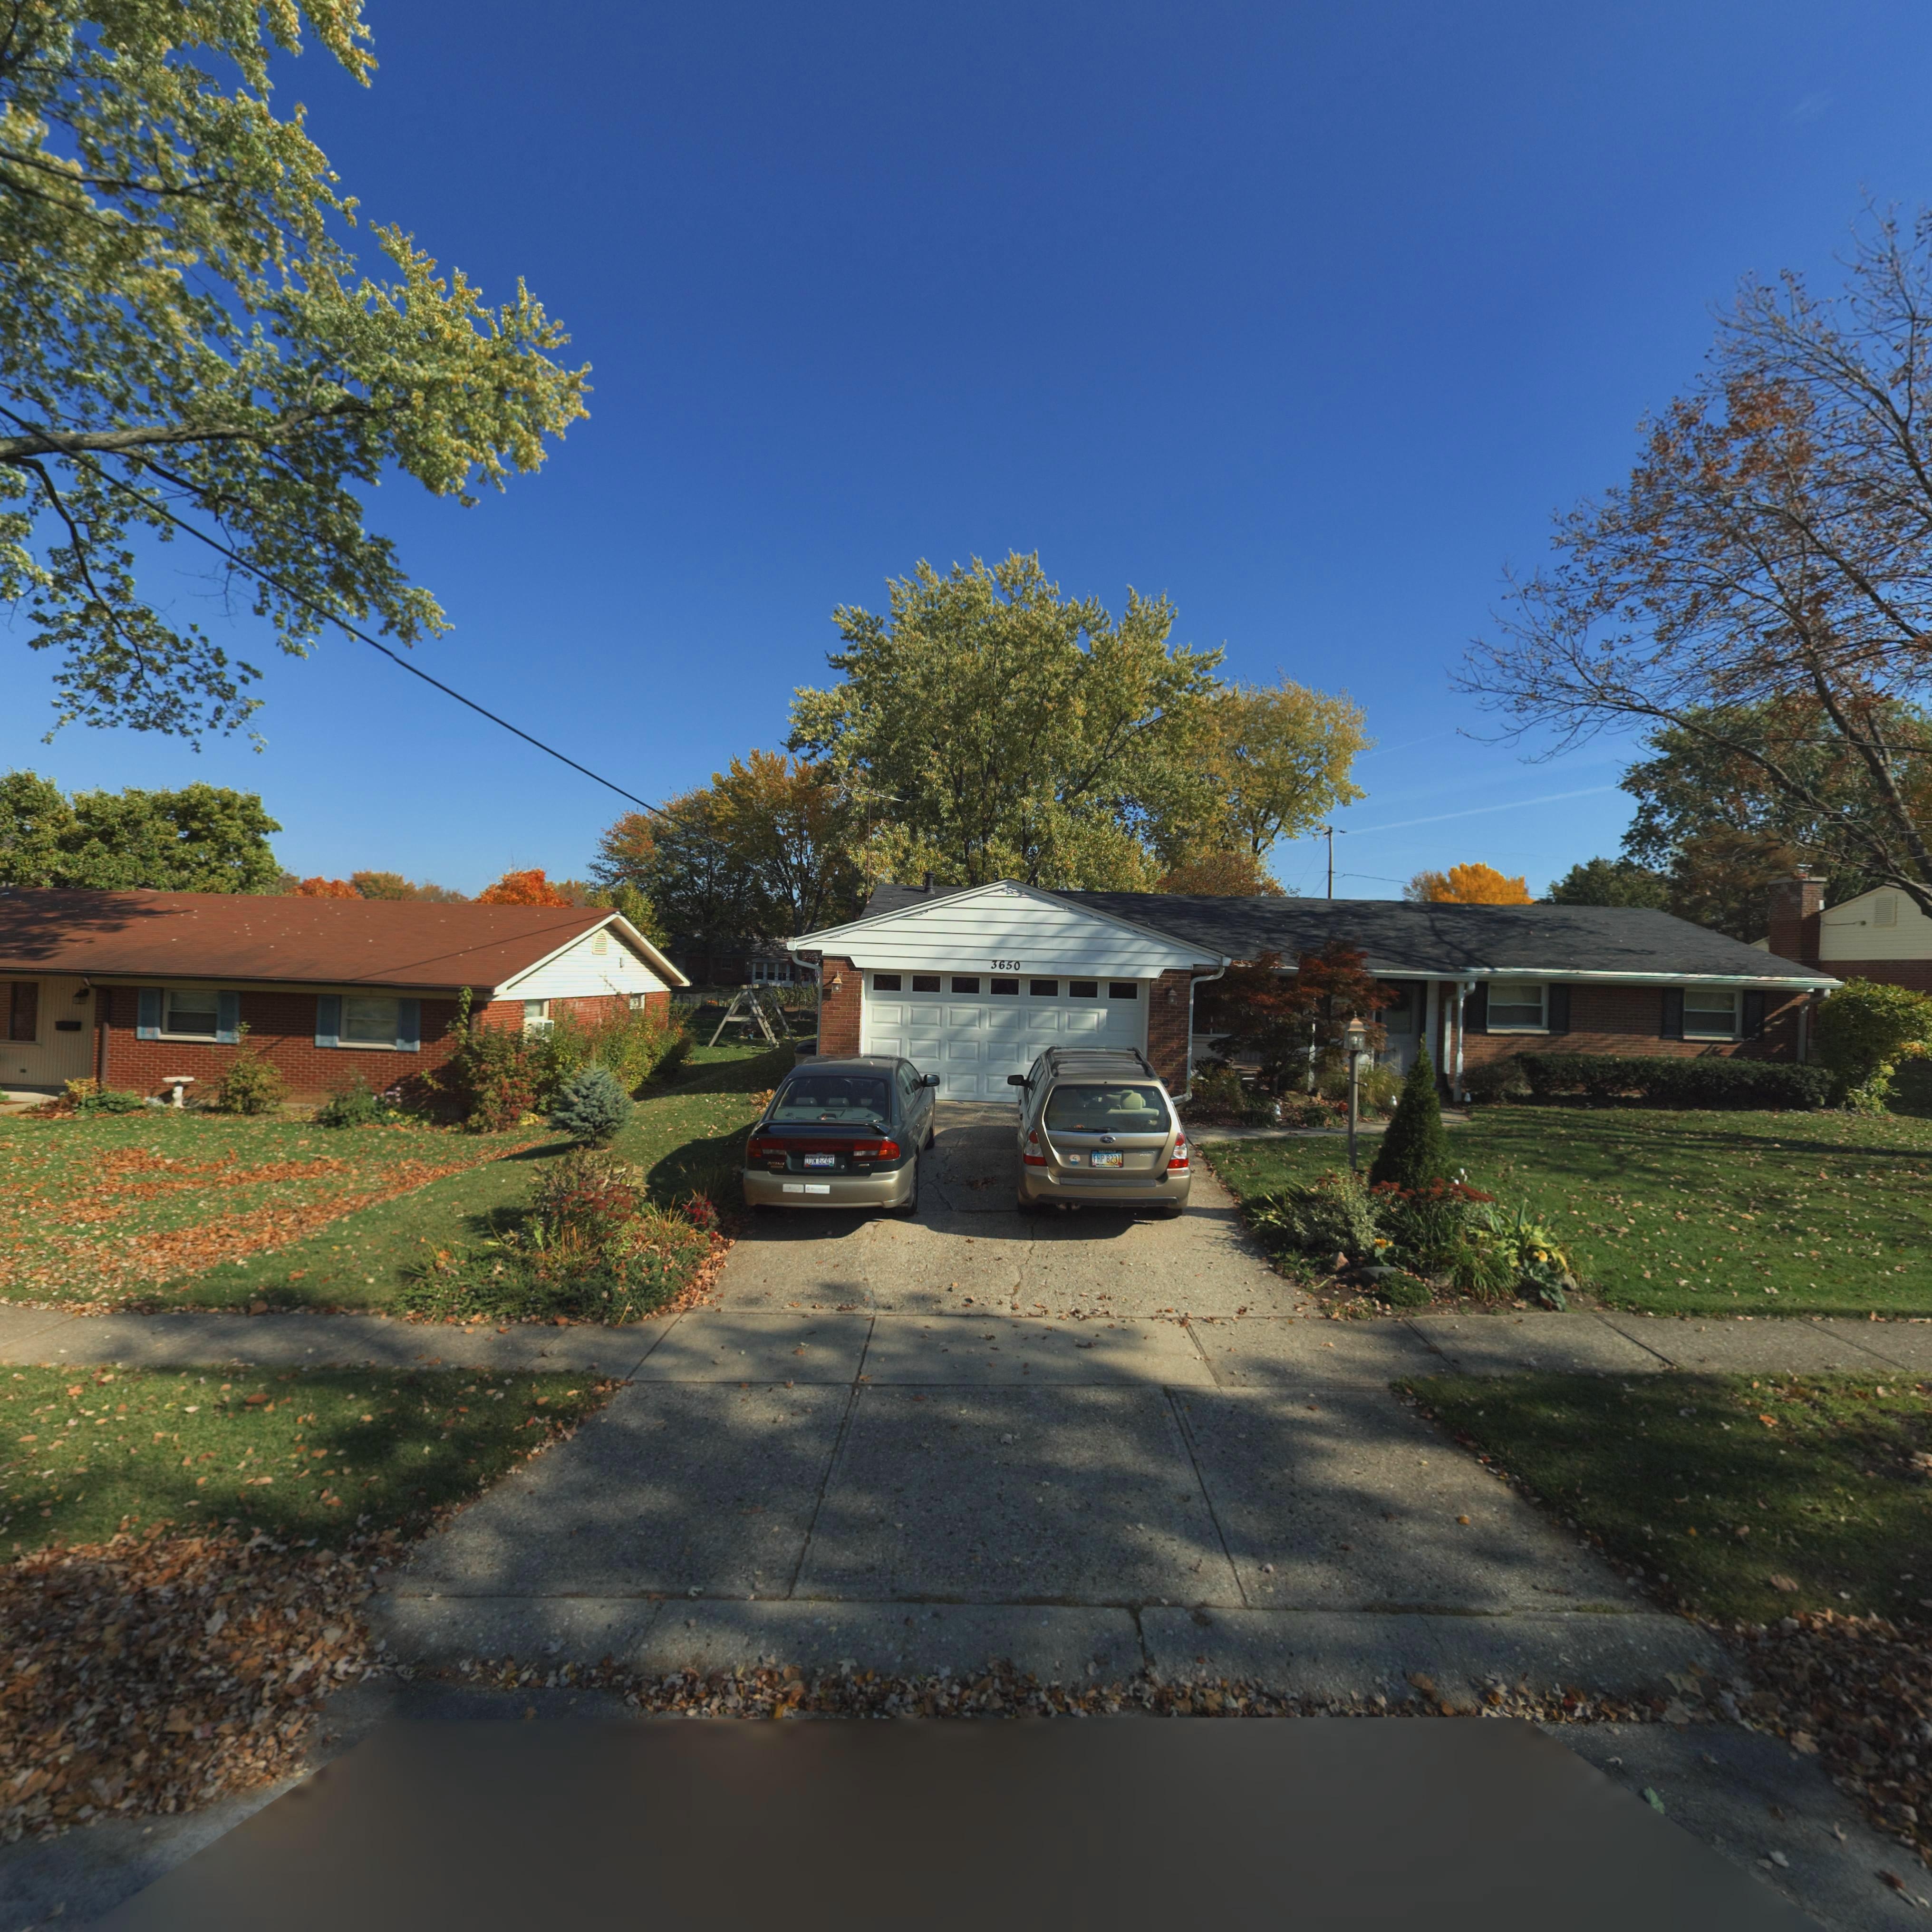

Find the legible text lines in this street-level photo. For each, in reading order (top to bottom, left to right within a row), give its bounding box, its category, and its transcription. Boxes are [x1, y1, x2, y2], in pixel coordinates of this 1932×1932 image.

[989, 959, 1021, 972] StreetNumber: 3650
[805, 1155, 834, 1165] None: DOW 6249
[1092, 1153, 1121, 1164] None: FHP 8231